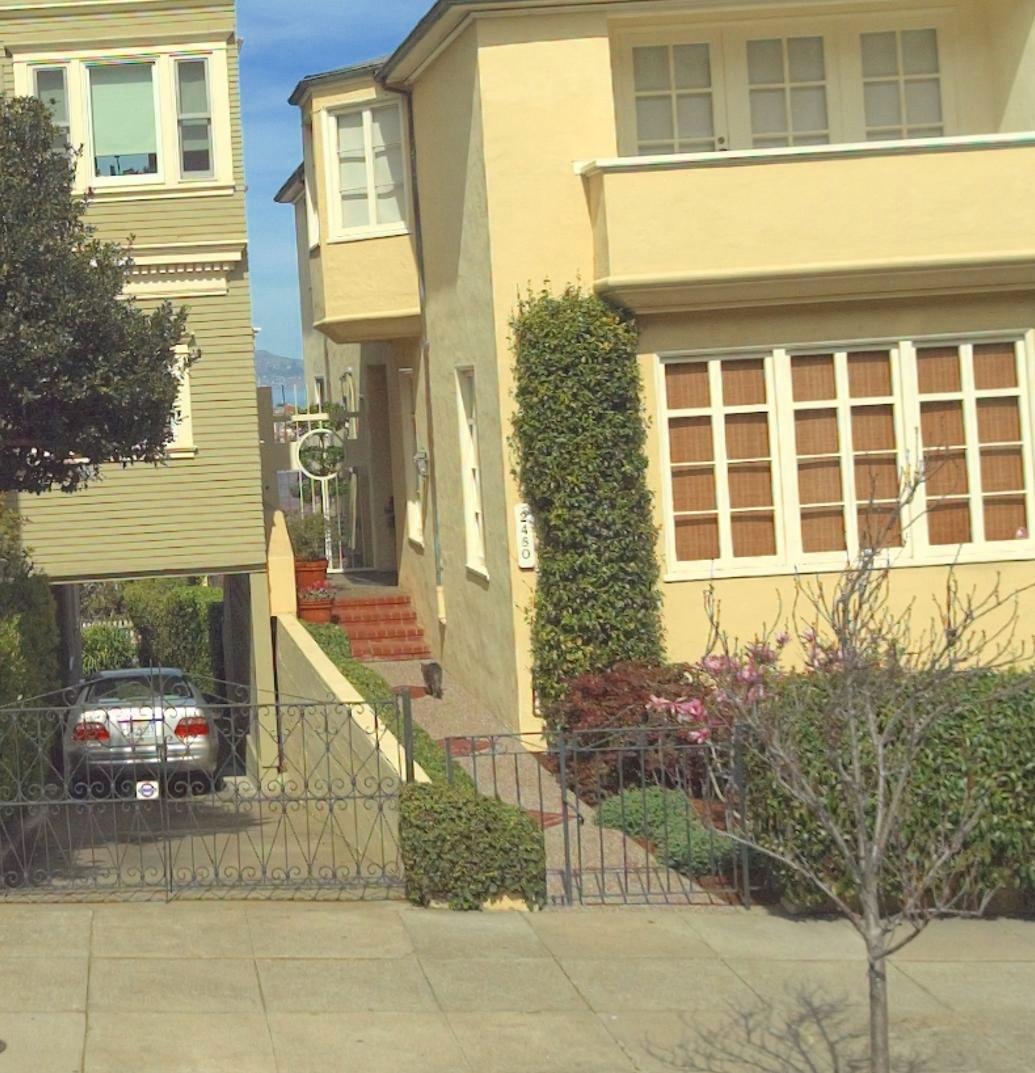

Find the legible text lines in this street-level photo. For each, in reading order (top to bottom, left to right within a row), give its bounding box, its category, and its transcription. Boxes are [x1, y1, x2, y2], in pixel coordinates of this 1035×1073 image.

[517, 509, 533, 563] StreetNumber: 2480